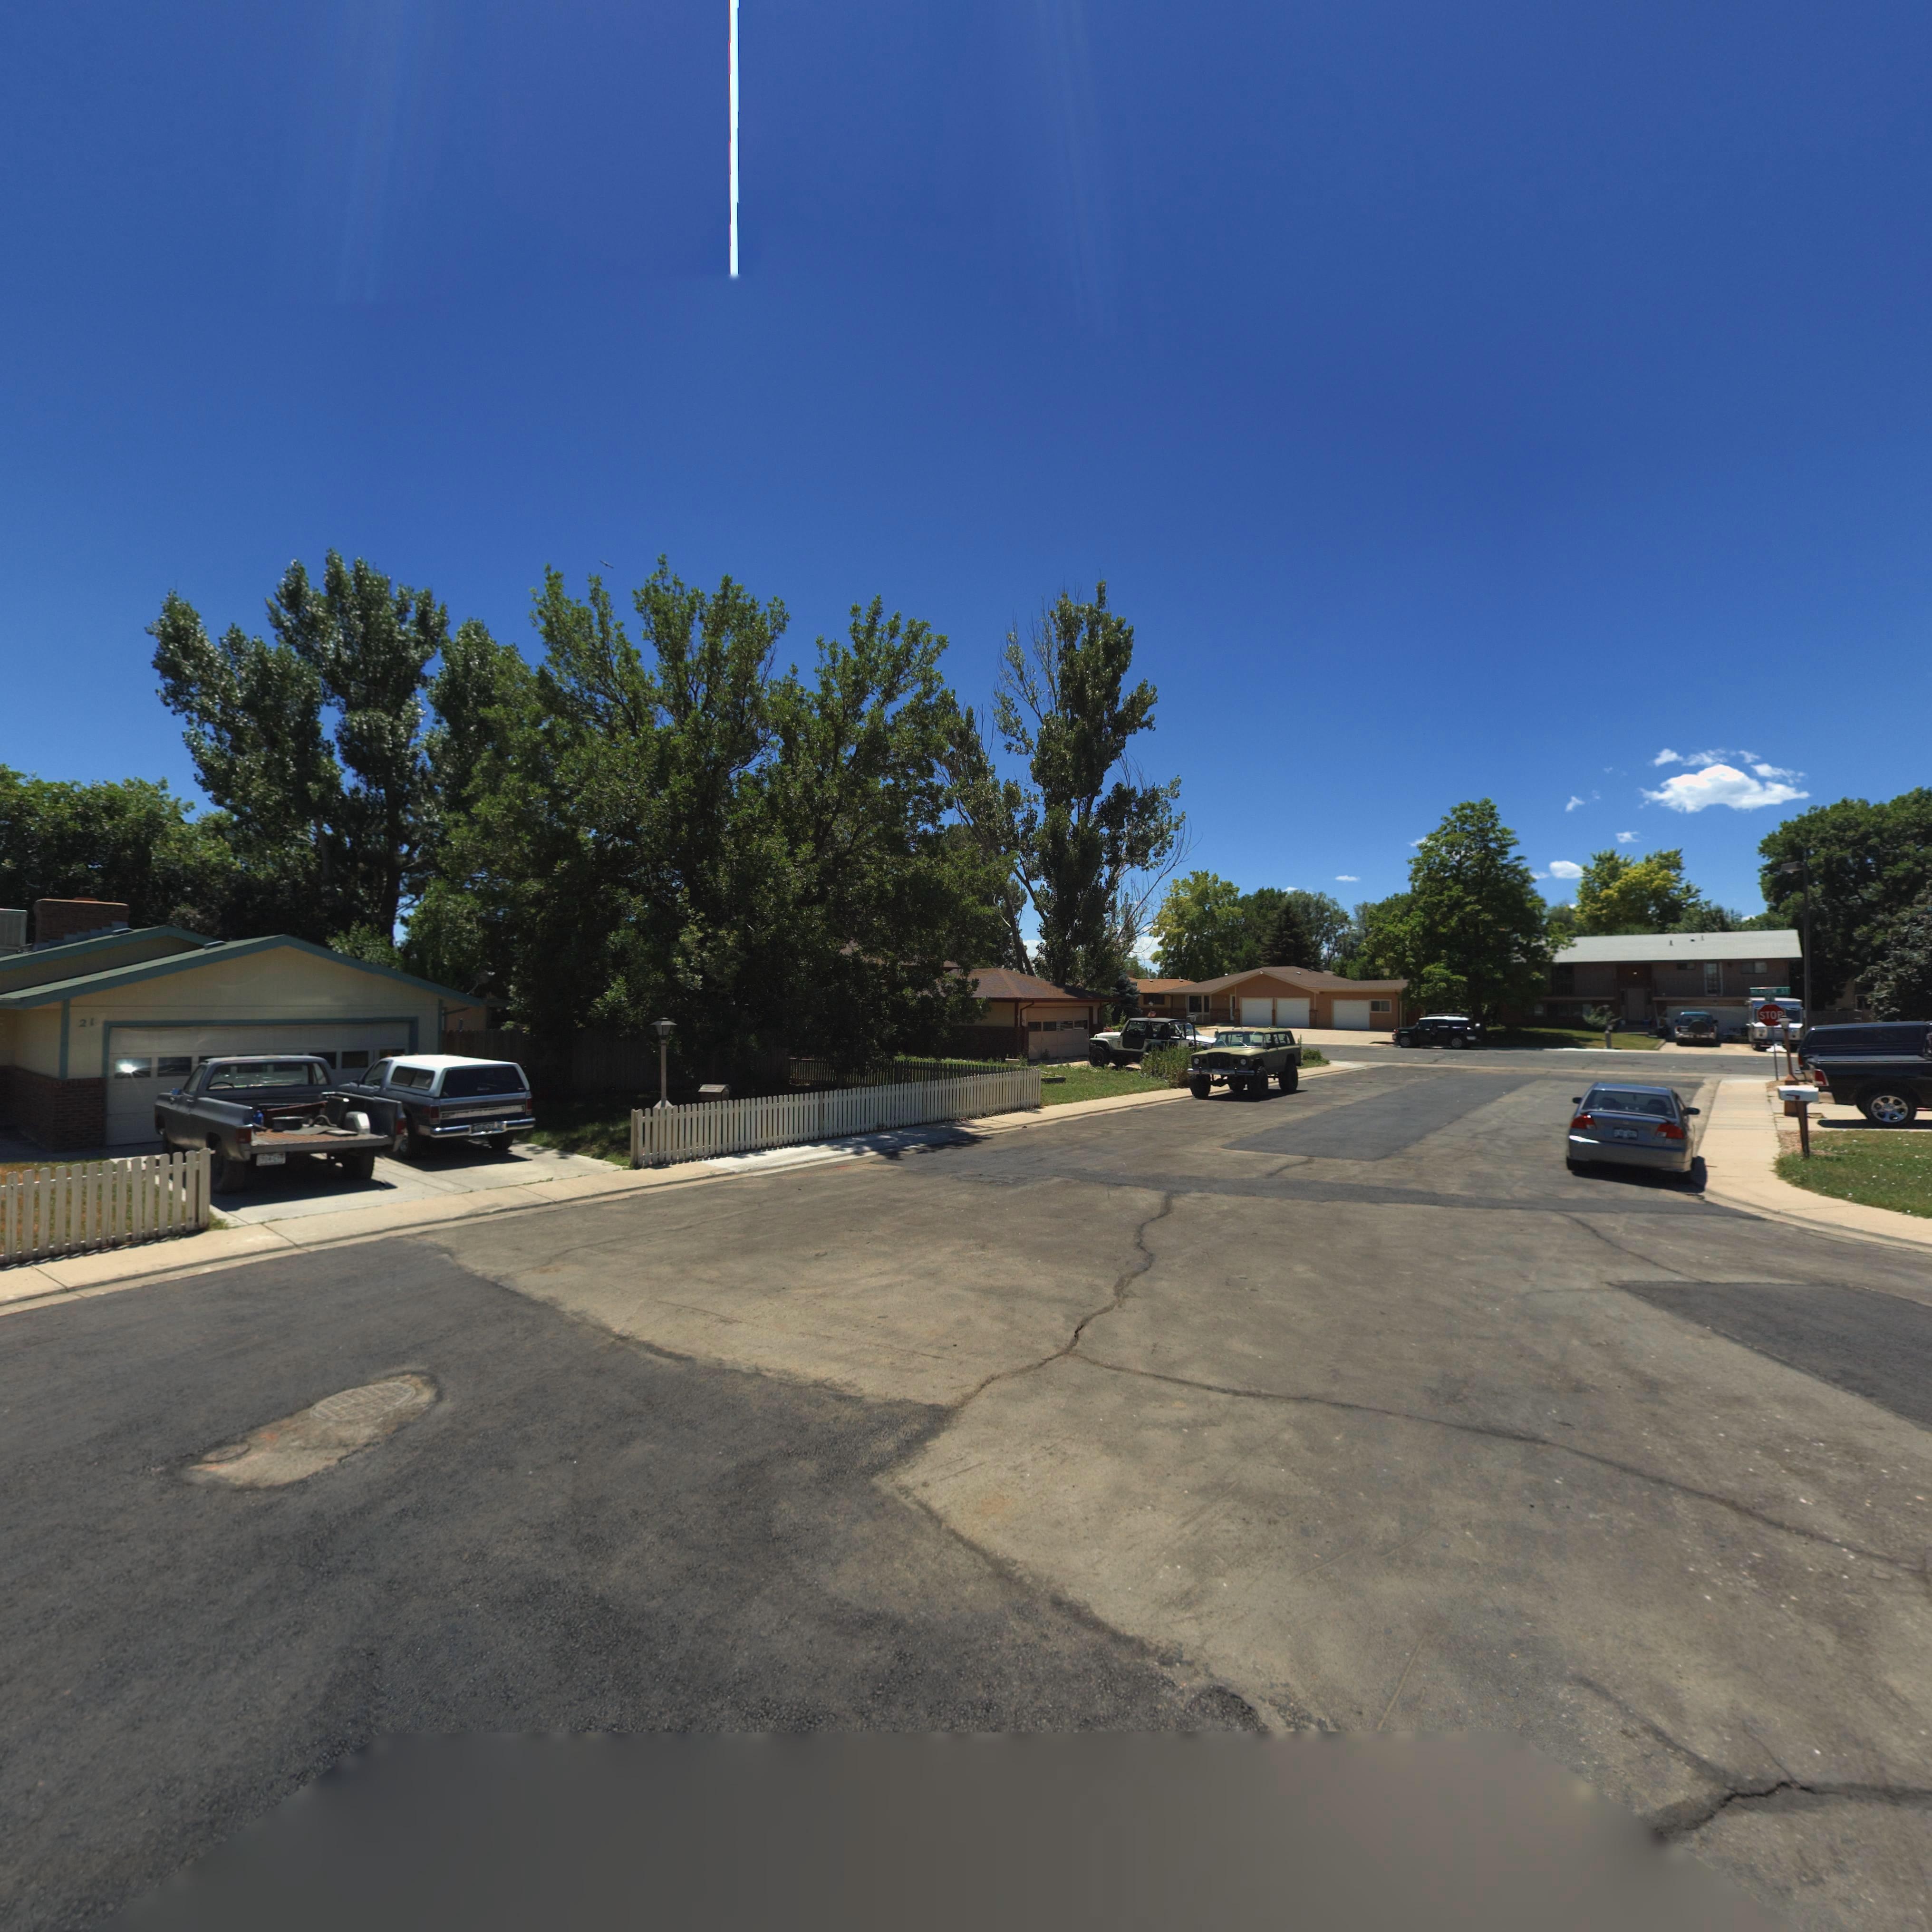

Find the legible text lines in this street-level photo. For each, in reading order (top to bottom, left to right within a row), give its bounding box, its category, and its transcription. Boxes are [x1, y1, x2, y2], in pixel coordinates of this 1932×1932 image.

[1750, 988, 1789, 995] StreetName: M**D*W ST
[78, 1016, 95, 1028] StreetNumber: 21
[1021, 1017, 1025, 1024] StreetNumber: *1